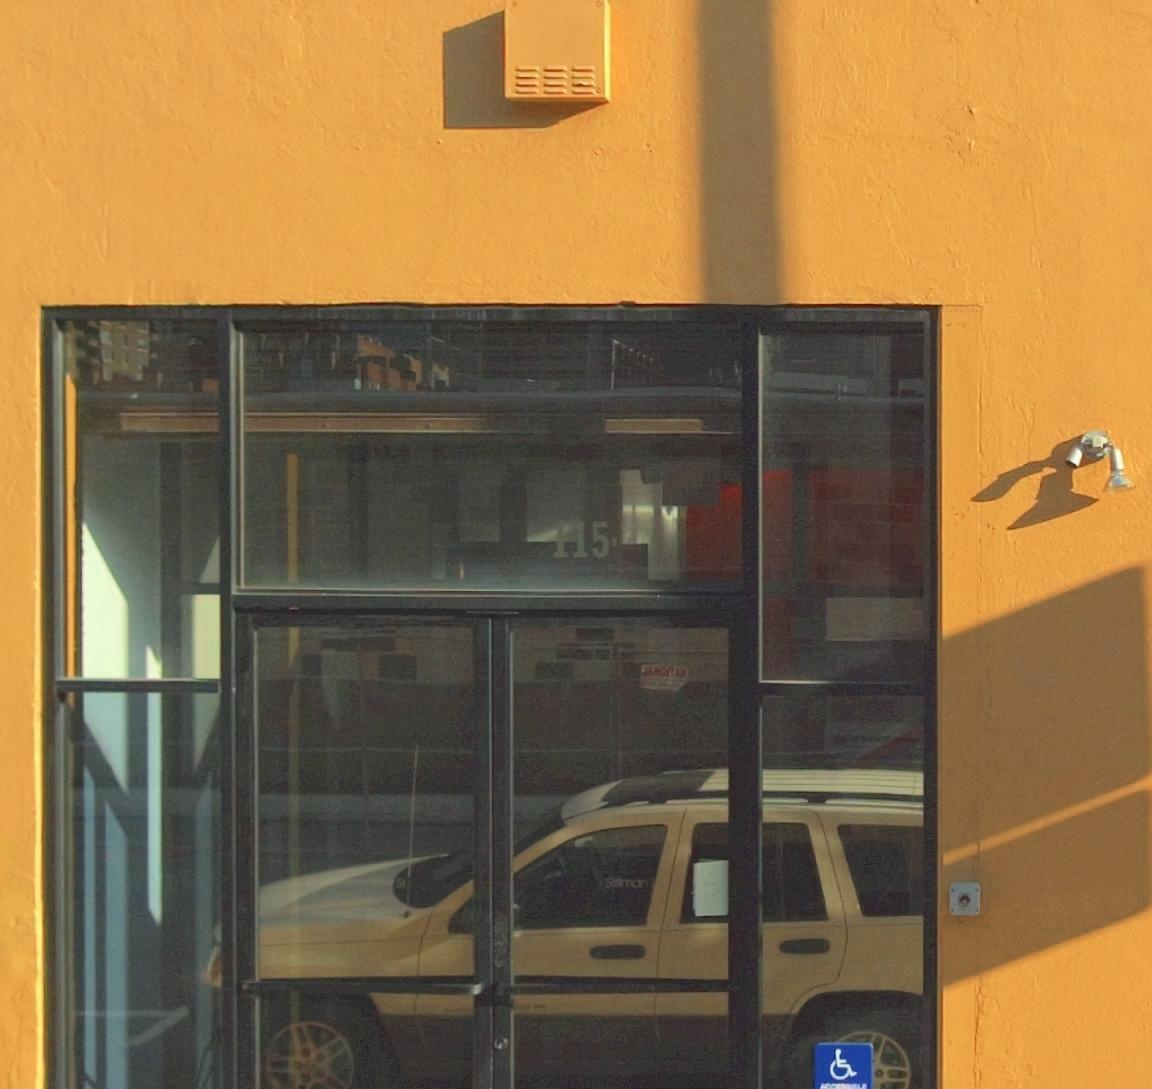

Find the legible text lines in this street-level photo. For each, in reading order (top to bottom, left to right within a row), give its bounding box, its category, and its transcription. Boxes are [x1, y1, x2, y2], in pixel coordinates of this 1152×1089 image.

[550, 520, 611, 560] StreetNumber: 115